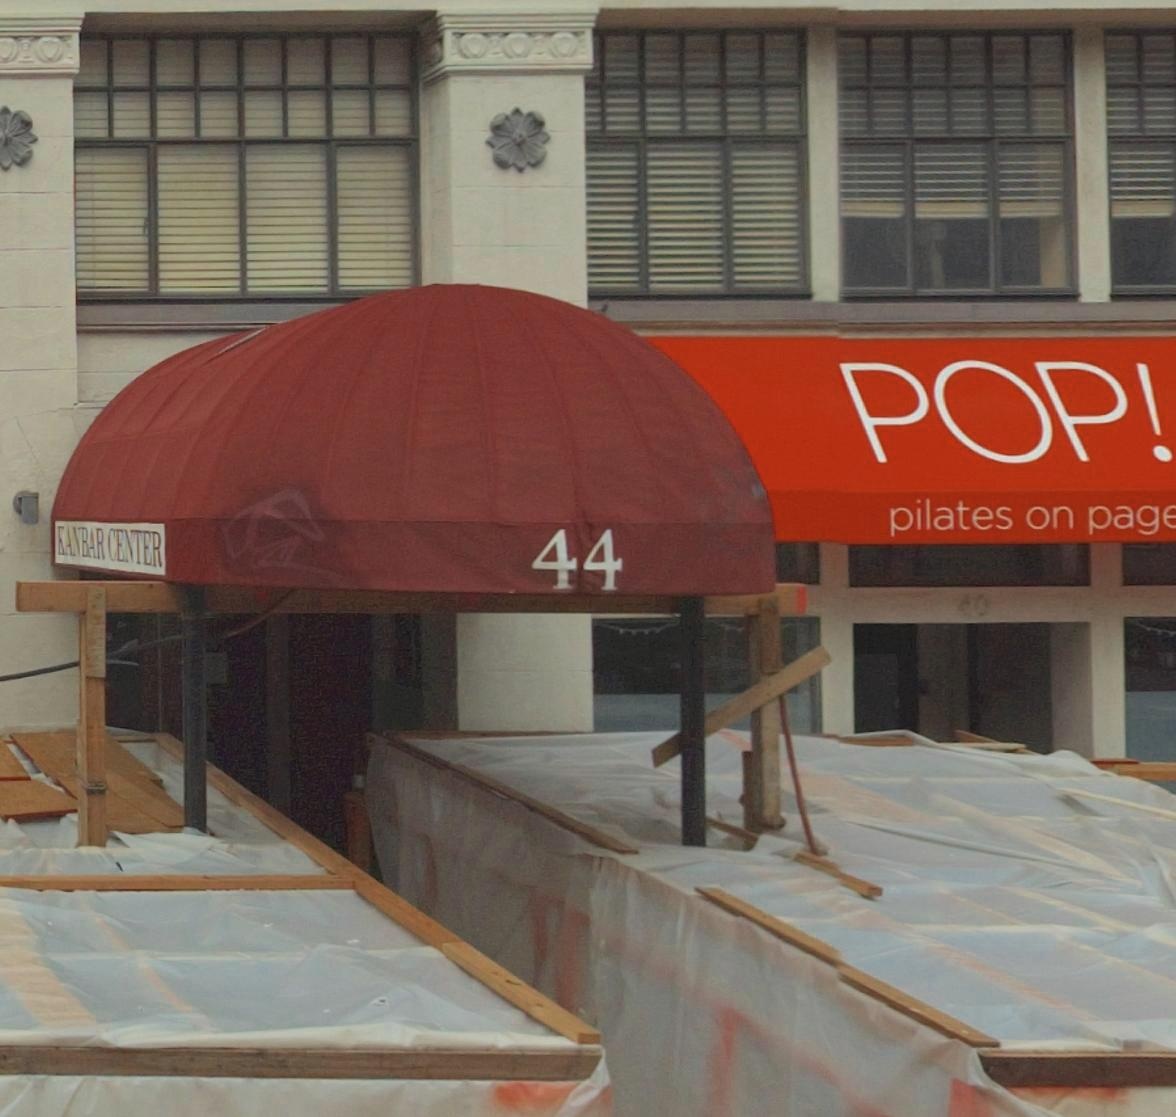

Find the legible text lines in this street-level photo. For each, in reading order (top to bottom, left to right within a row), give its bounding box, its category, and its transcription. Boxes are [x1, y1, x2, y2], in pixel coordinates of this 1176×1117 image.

[835, 355, 1174, 466] BusinessName: POP!
[888, 496, 1161, 539] BusinessName: pilates on pag
[56, 524, 164, 569] BusinessName: KAN BAR CENTER
[527, 525, 627, 594] StreetNumber: 44
[955, 592, 992, 621] StreetNumber: 40